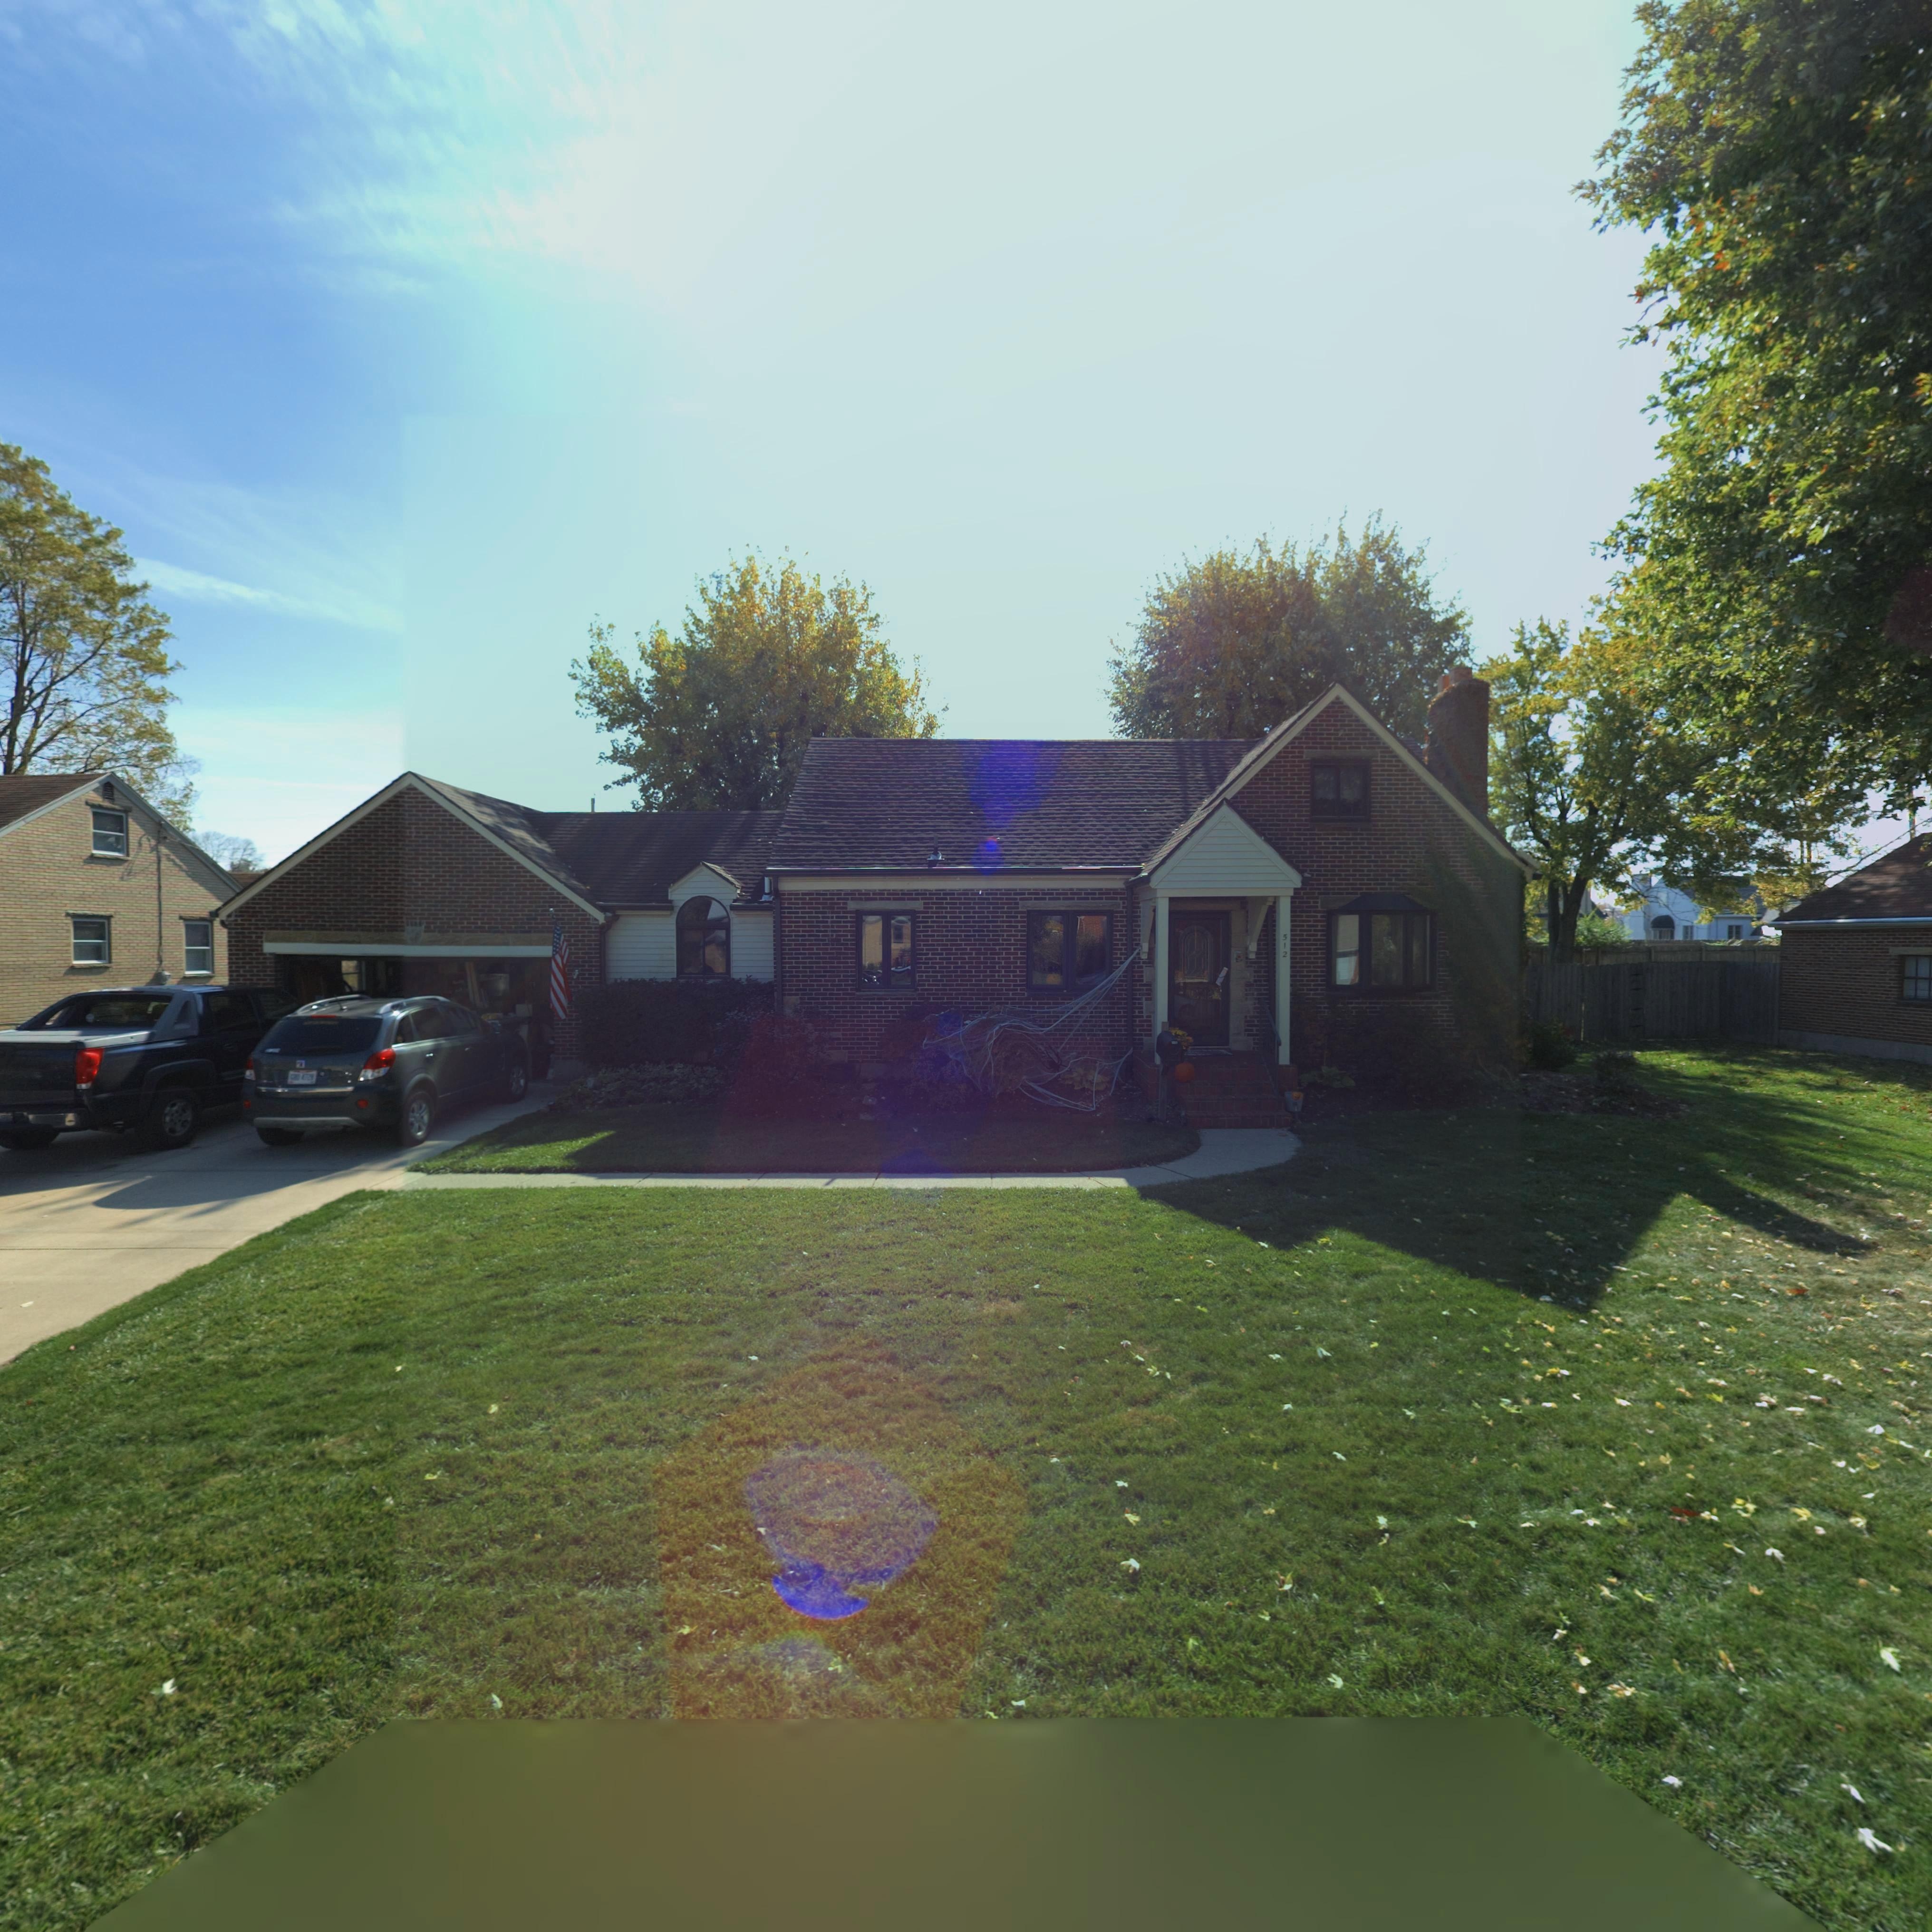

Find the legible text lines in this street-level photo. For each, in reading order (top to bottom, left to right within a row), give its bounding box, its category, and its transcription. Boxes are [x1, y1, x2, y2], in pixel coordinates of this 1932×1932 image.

[1281, 934, 1288, 958] StreetNumber: 512
[300, 1073, 315, 1082] None: 4729